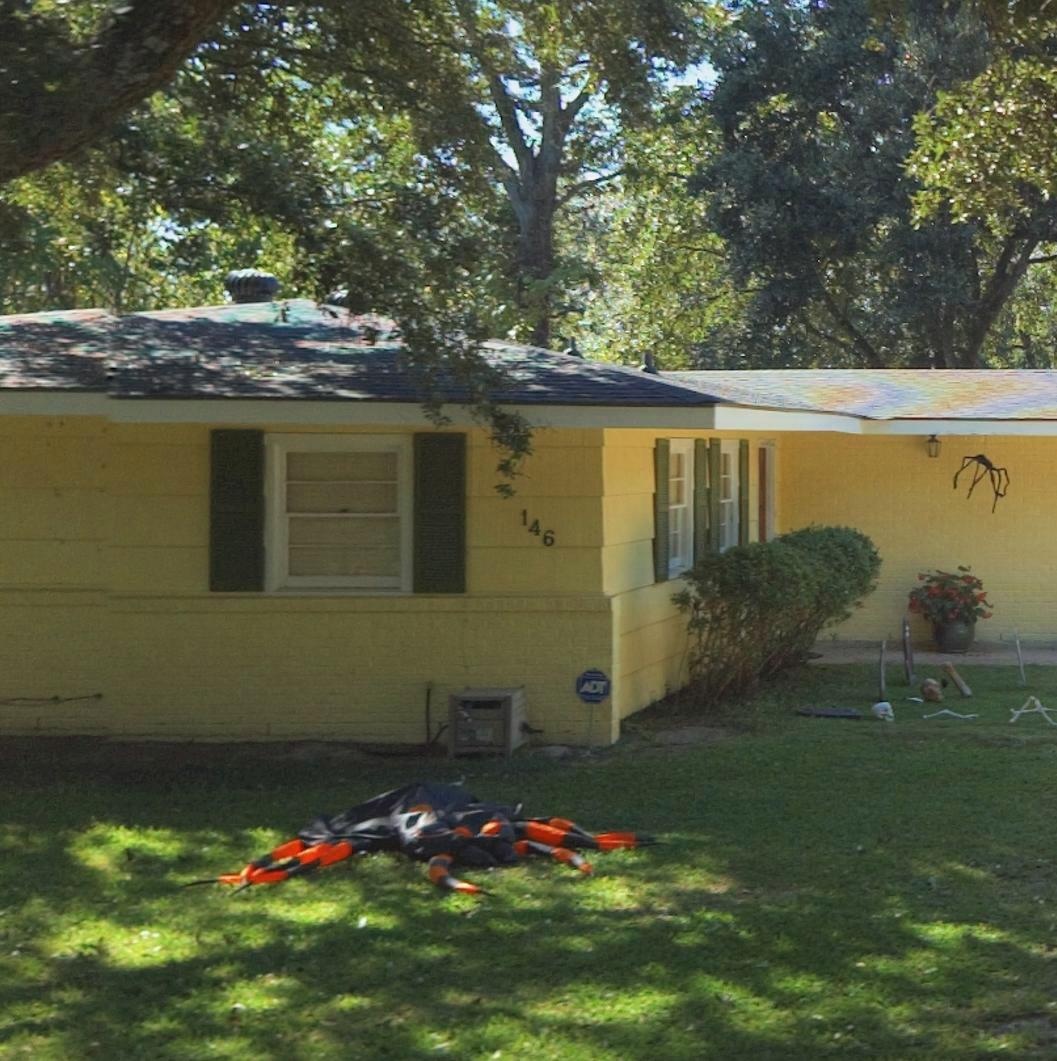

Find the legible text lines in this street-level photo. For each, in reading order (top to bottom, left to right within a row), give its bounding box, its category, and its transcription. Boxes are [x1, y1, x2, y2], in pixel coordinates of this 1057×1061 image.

[519, 508, 556, 547] StreetNumber: 146
[577, 679, 609, 696] None: ADT